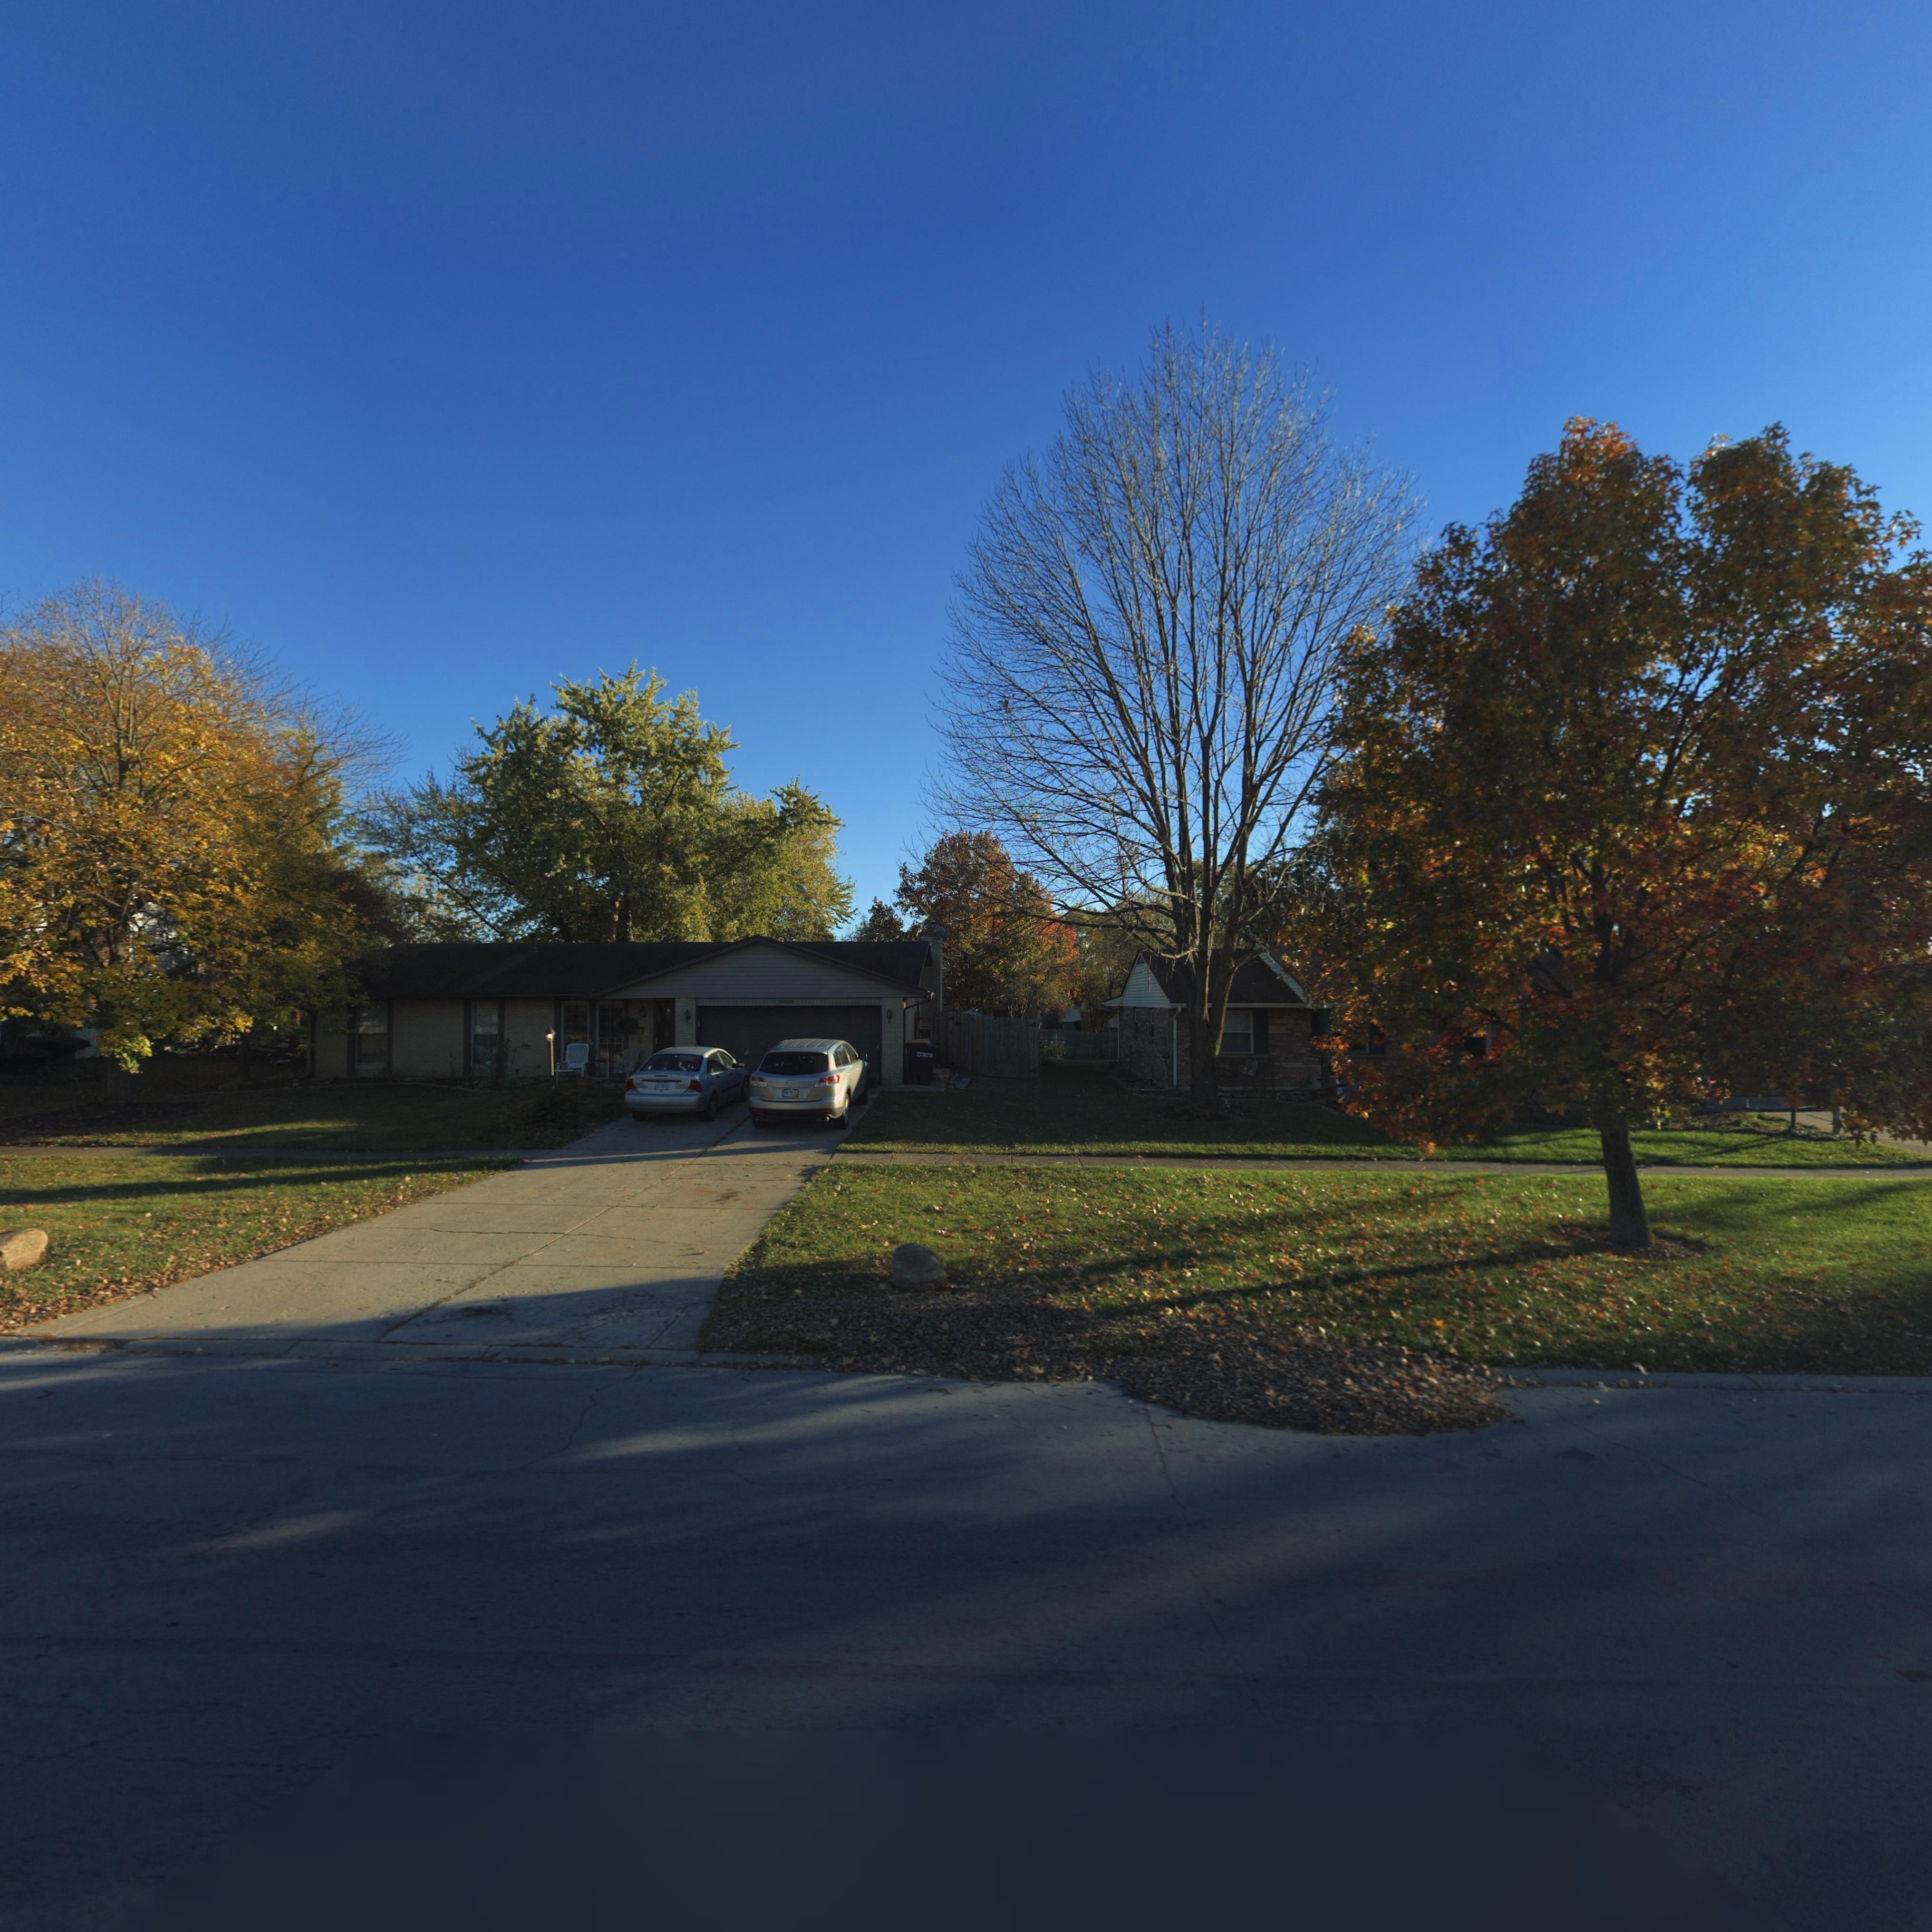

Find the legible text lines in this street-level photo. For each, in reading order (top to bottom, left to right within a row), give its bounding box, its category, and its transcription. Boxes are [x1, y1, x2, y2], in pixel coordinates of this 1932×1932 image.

[778, 999, 794, 1004] StreetNumber: 4928